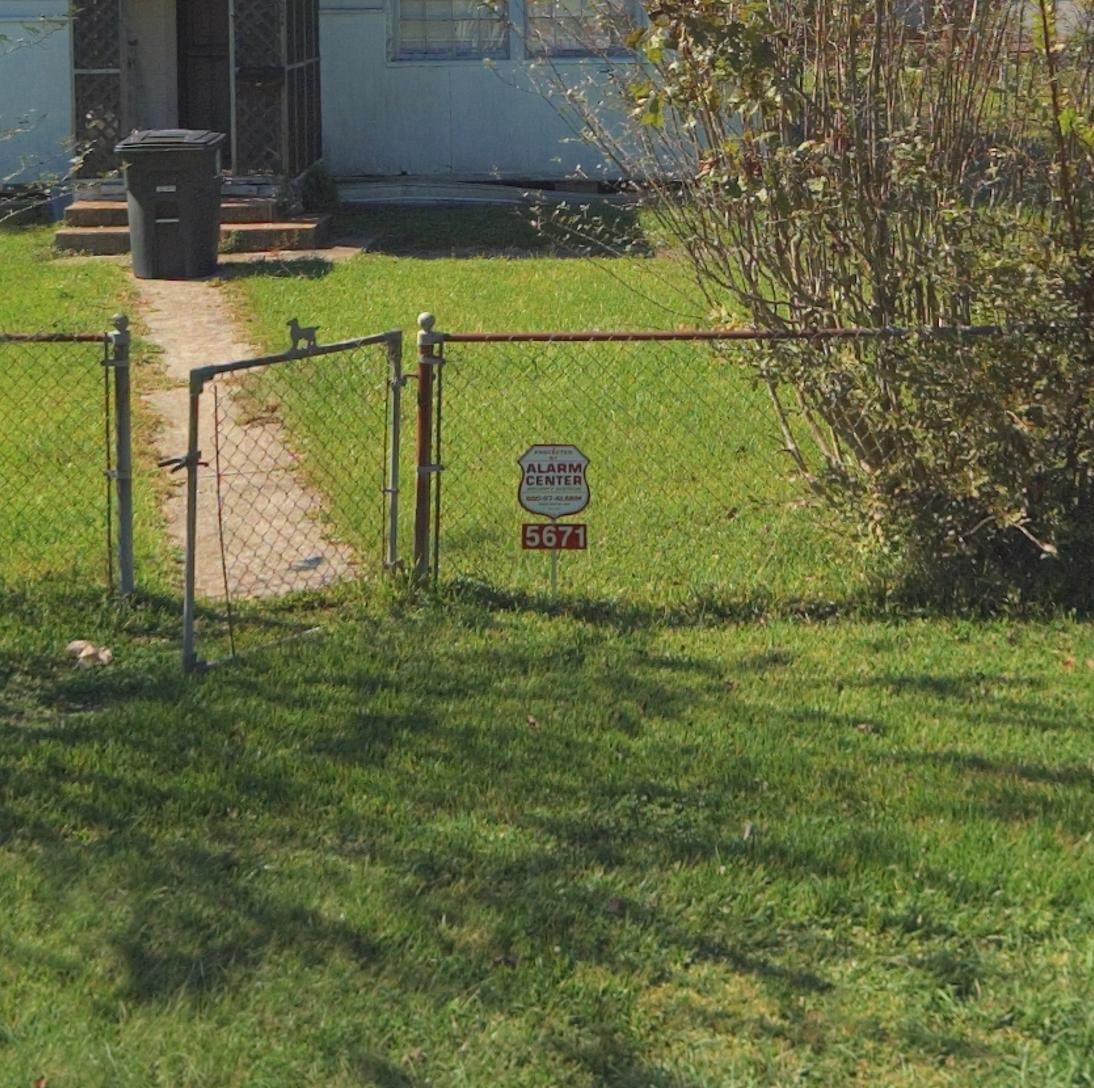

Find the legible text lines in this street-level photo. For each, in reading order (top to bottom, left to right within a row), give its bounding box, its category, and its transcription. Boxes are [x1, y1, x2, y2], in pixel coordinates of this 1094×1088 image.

[524, 462, 582, 474] None: ALARM
[525, 474, 582, 487] None: CENTER
[524, 524, 586, 548] StreetNumber: 5671